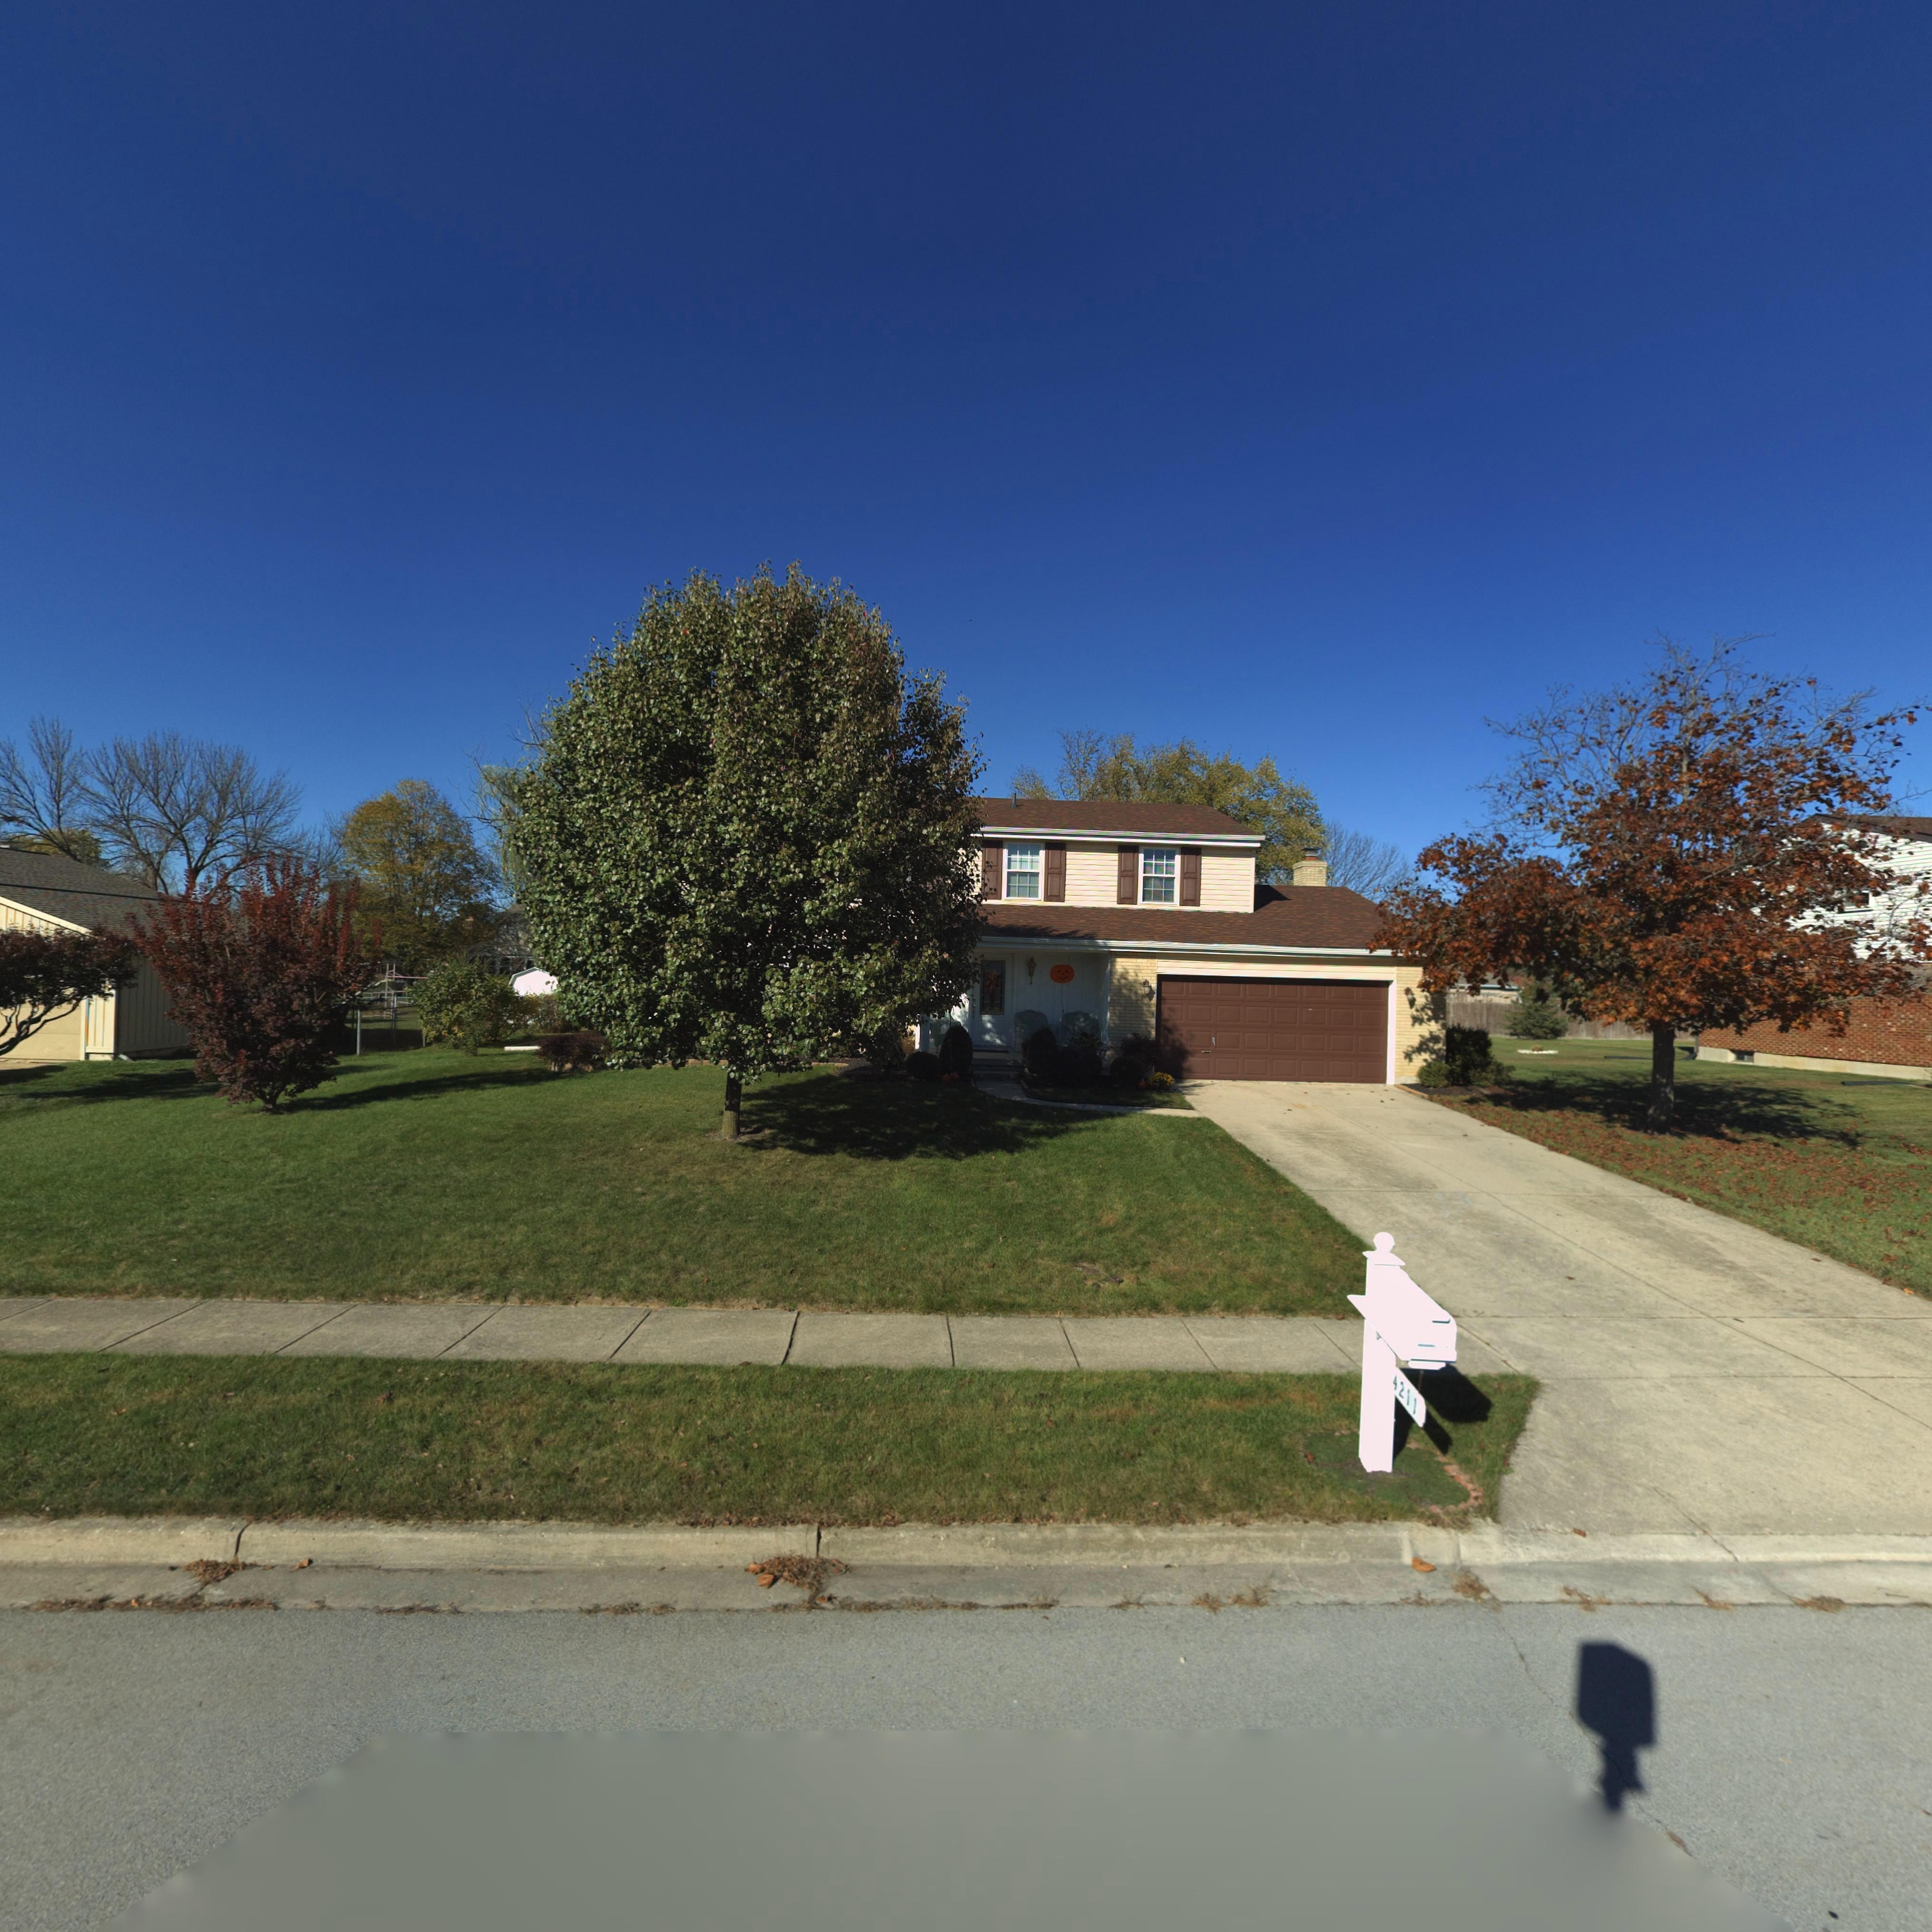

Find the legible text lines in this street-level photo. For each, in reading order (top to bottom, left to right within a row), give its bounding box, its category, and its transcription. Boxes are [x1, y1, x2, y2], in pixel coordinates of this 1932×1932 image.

[1391, 1373, 1419, 1418] StreetNumber: 4211